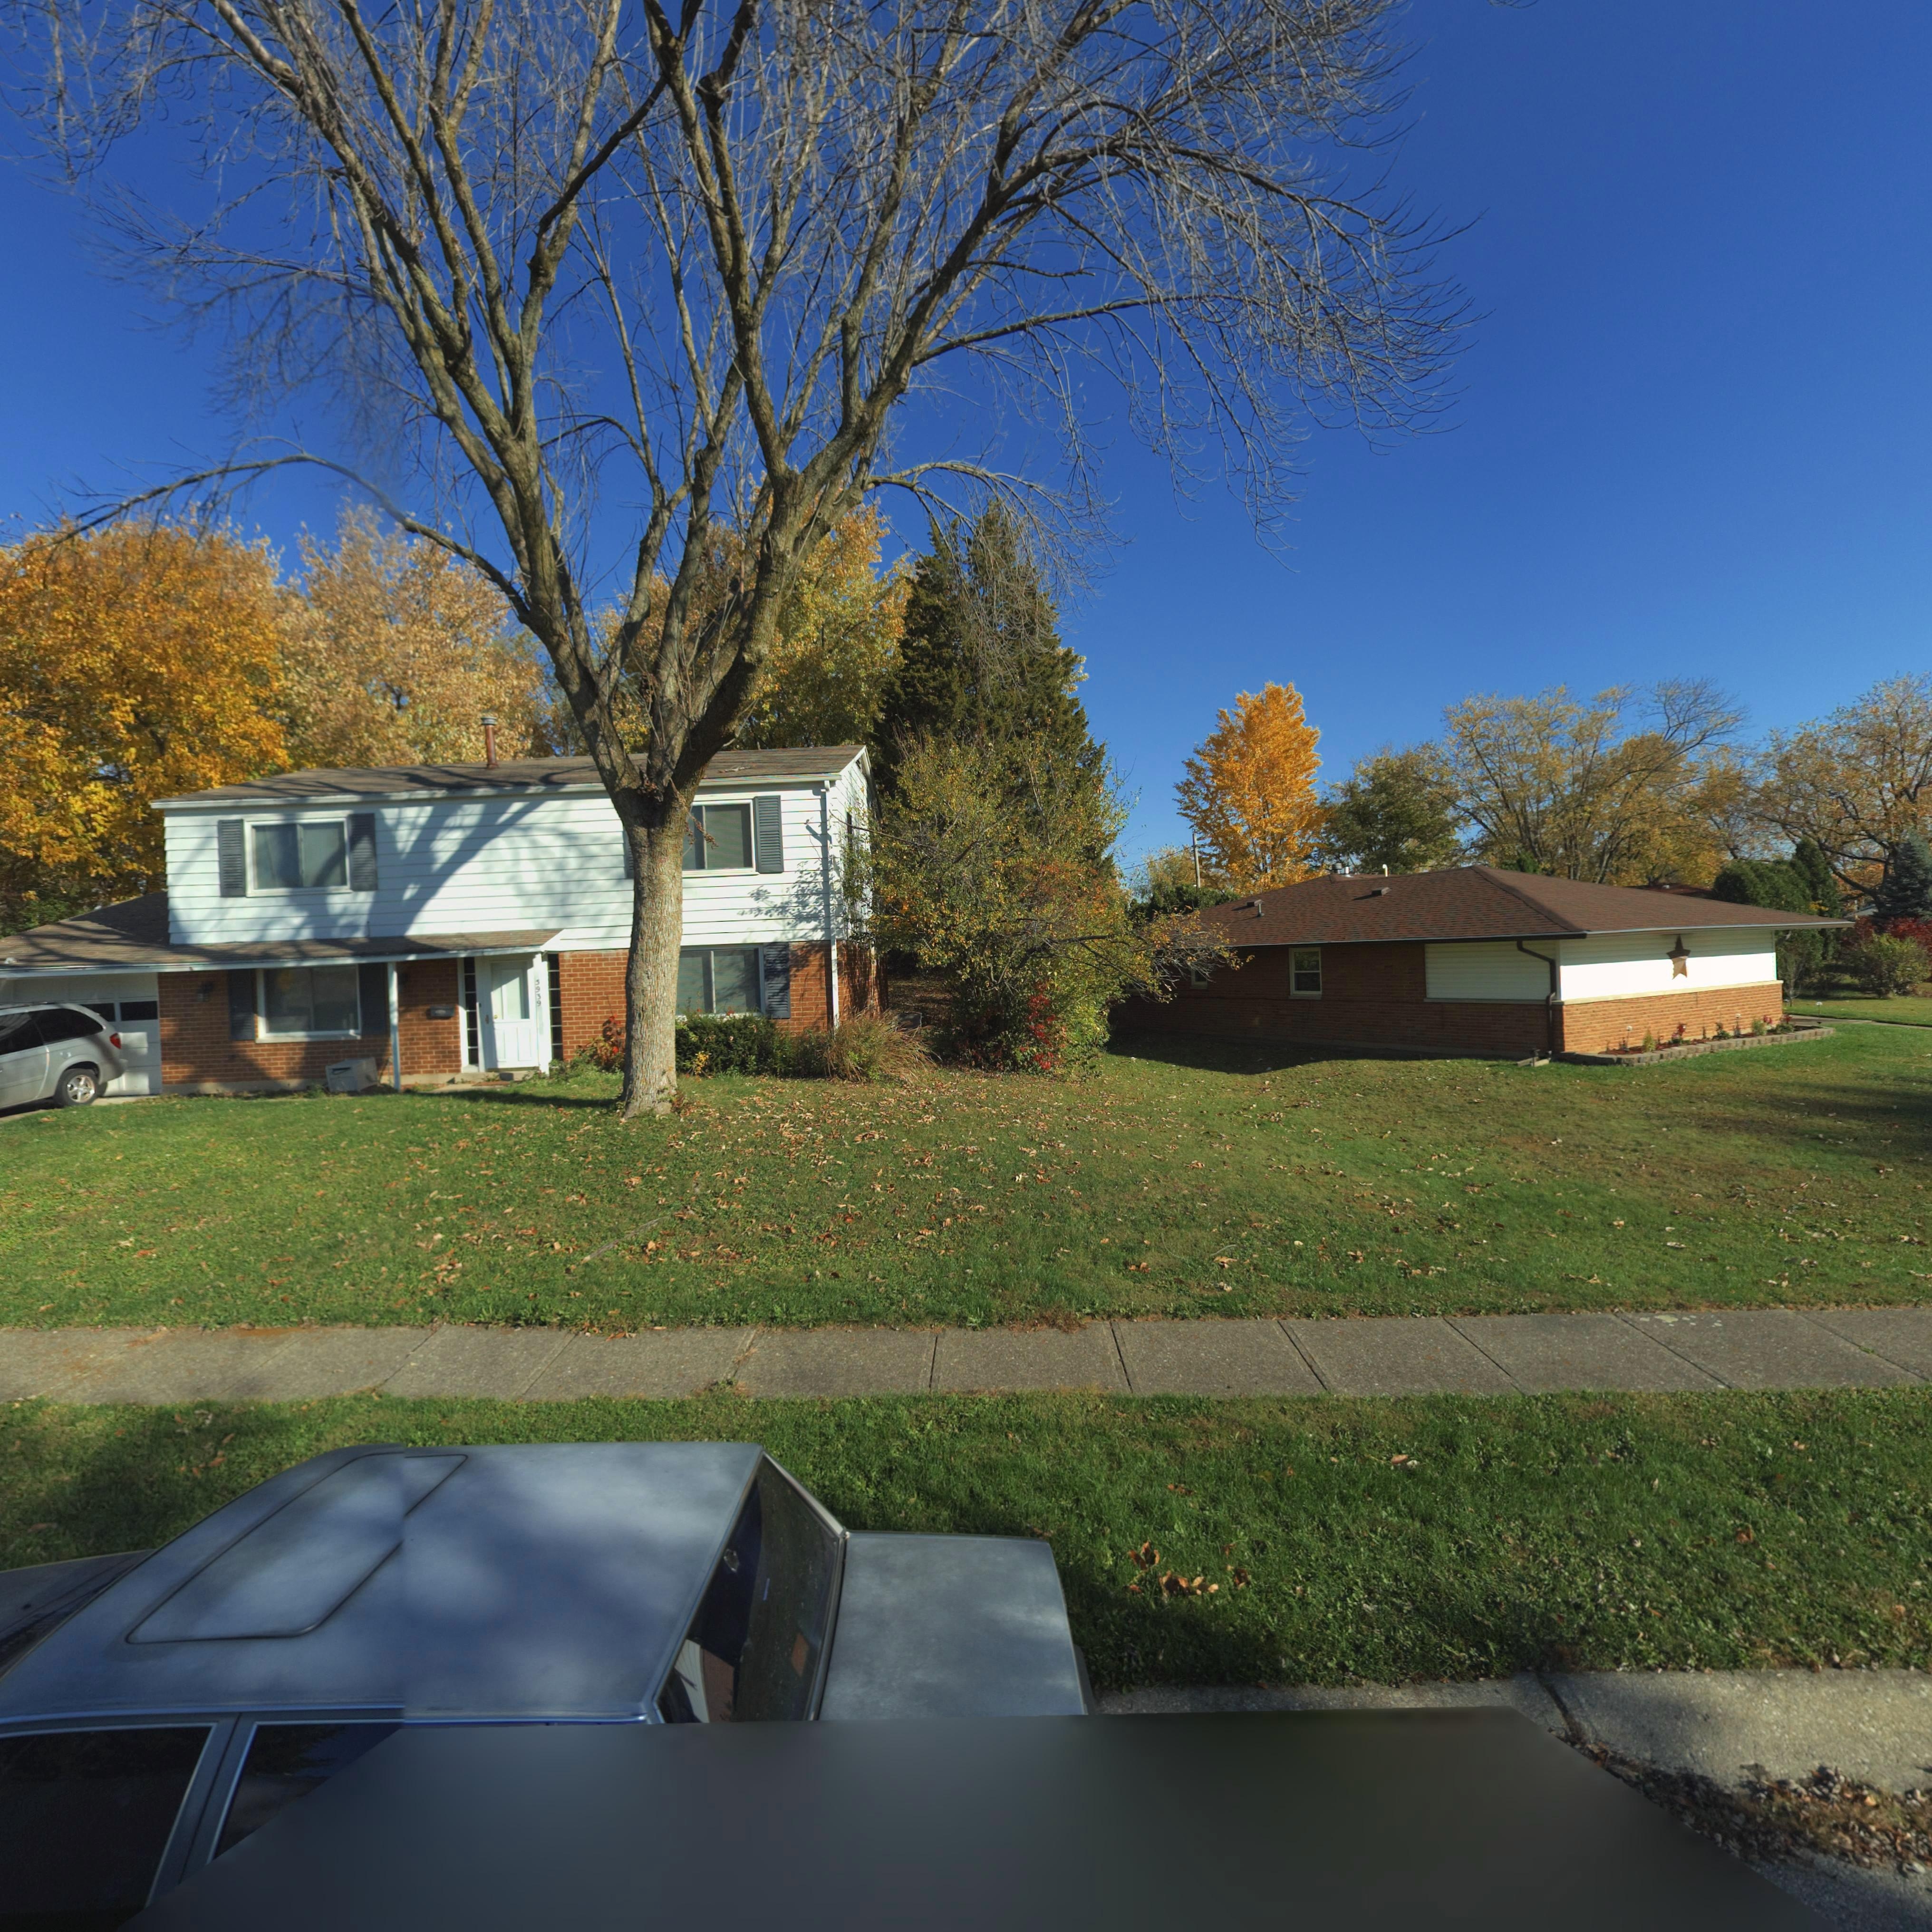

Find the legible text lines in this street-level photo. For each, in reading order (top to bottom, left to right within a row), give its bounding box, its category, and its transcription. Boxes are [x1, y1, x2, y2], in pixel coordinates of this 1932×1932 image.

[534, 978, 543, 1008] StreetNumber: 5939